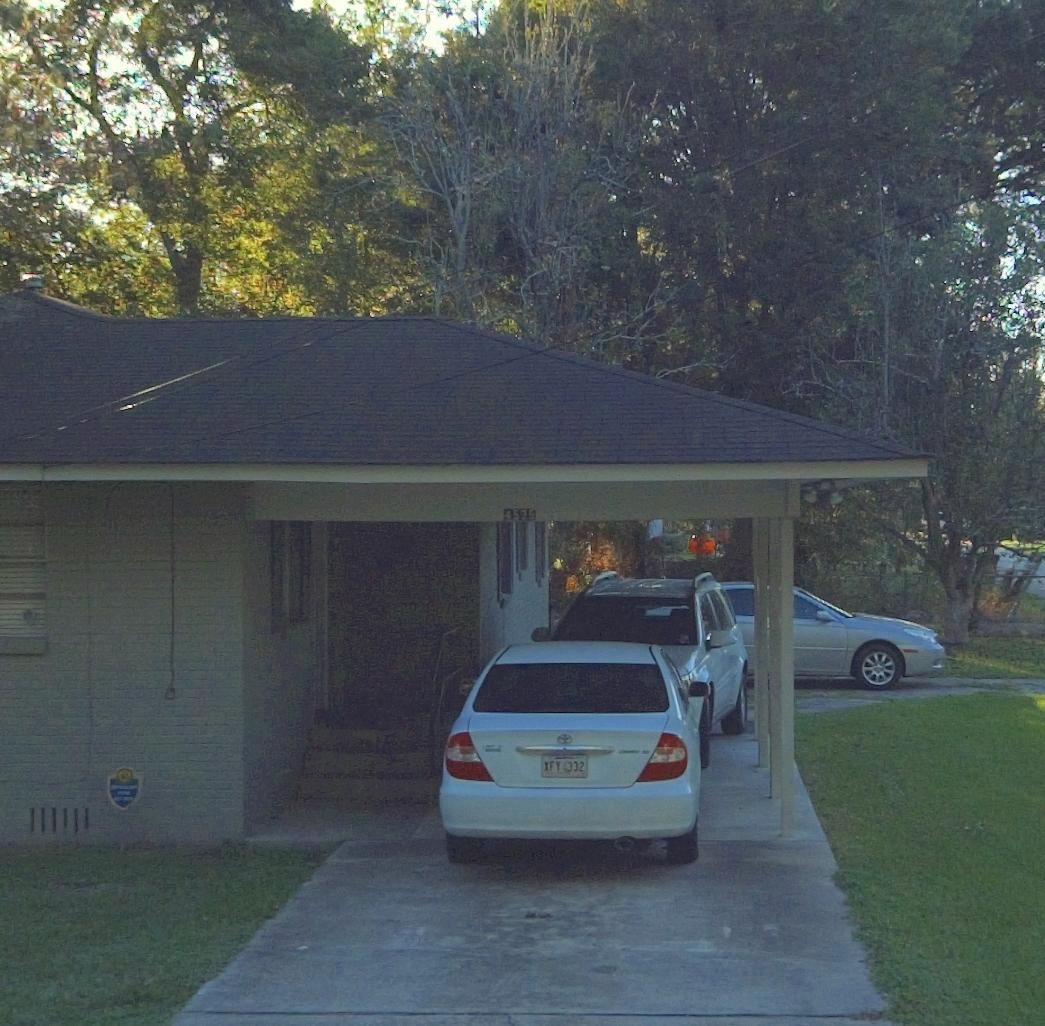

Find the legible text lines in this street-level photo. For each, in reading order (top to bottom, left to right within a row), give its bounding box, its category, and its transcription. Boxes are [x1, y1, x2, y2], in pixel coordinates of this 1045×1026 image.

[504, 509, 535, 521] StreetNumber: 45*5
[543, 760, 585, 773] None: XFY 332